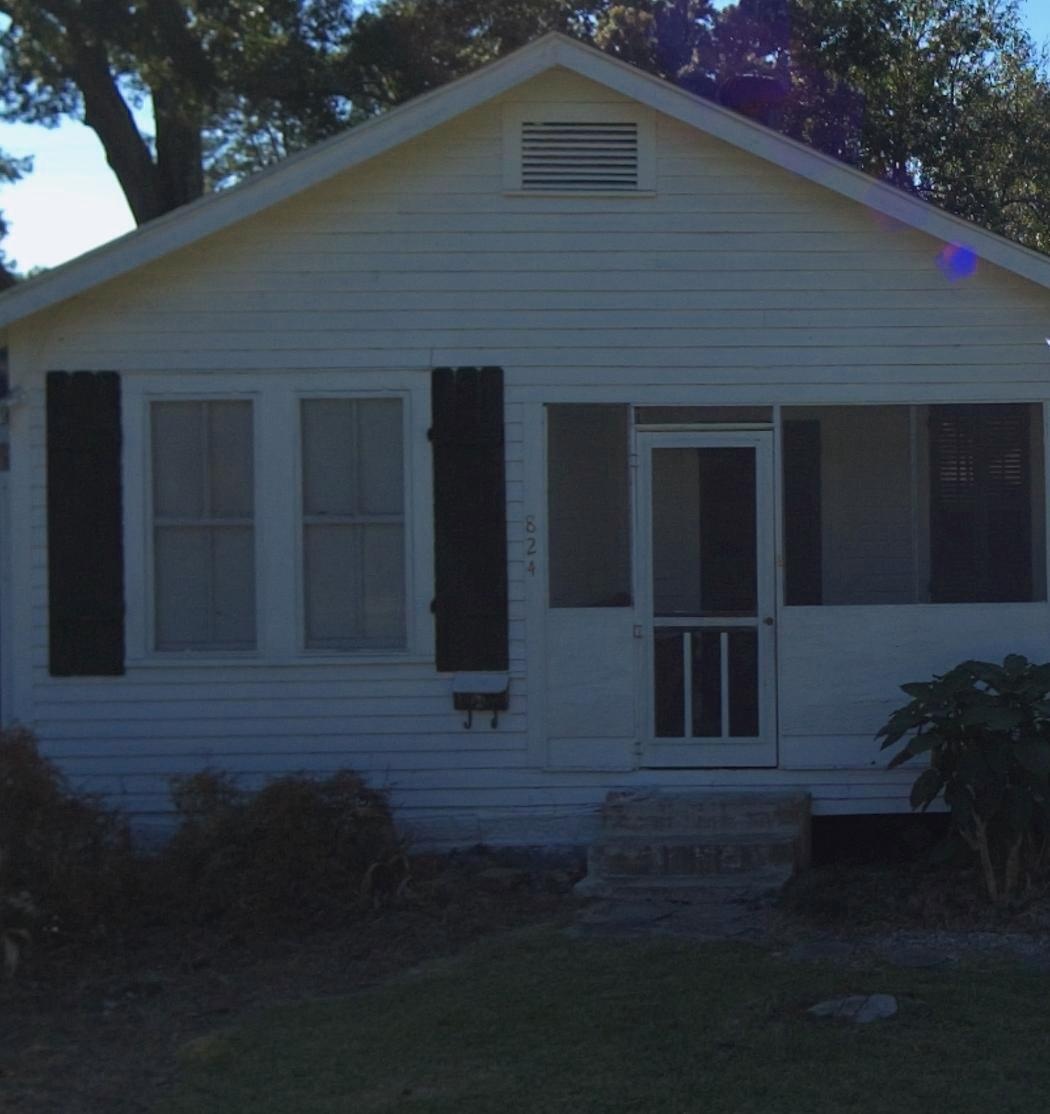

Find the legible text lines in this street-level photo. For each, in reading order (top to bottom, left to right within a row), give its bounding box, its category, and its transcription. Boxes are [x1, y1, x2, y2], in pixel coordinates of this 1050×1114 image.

[522, 512, 540, 580] StreetNumber: 824